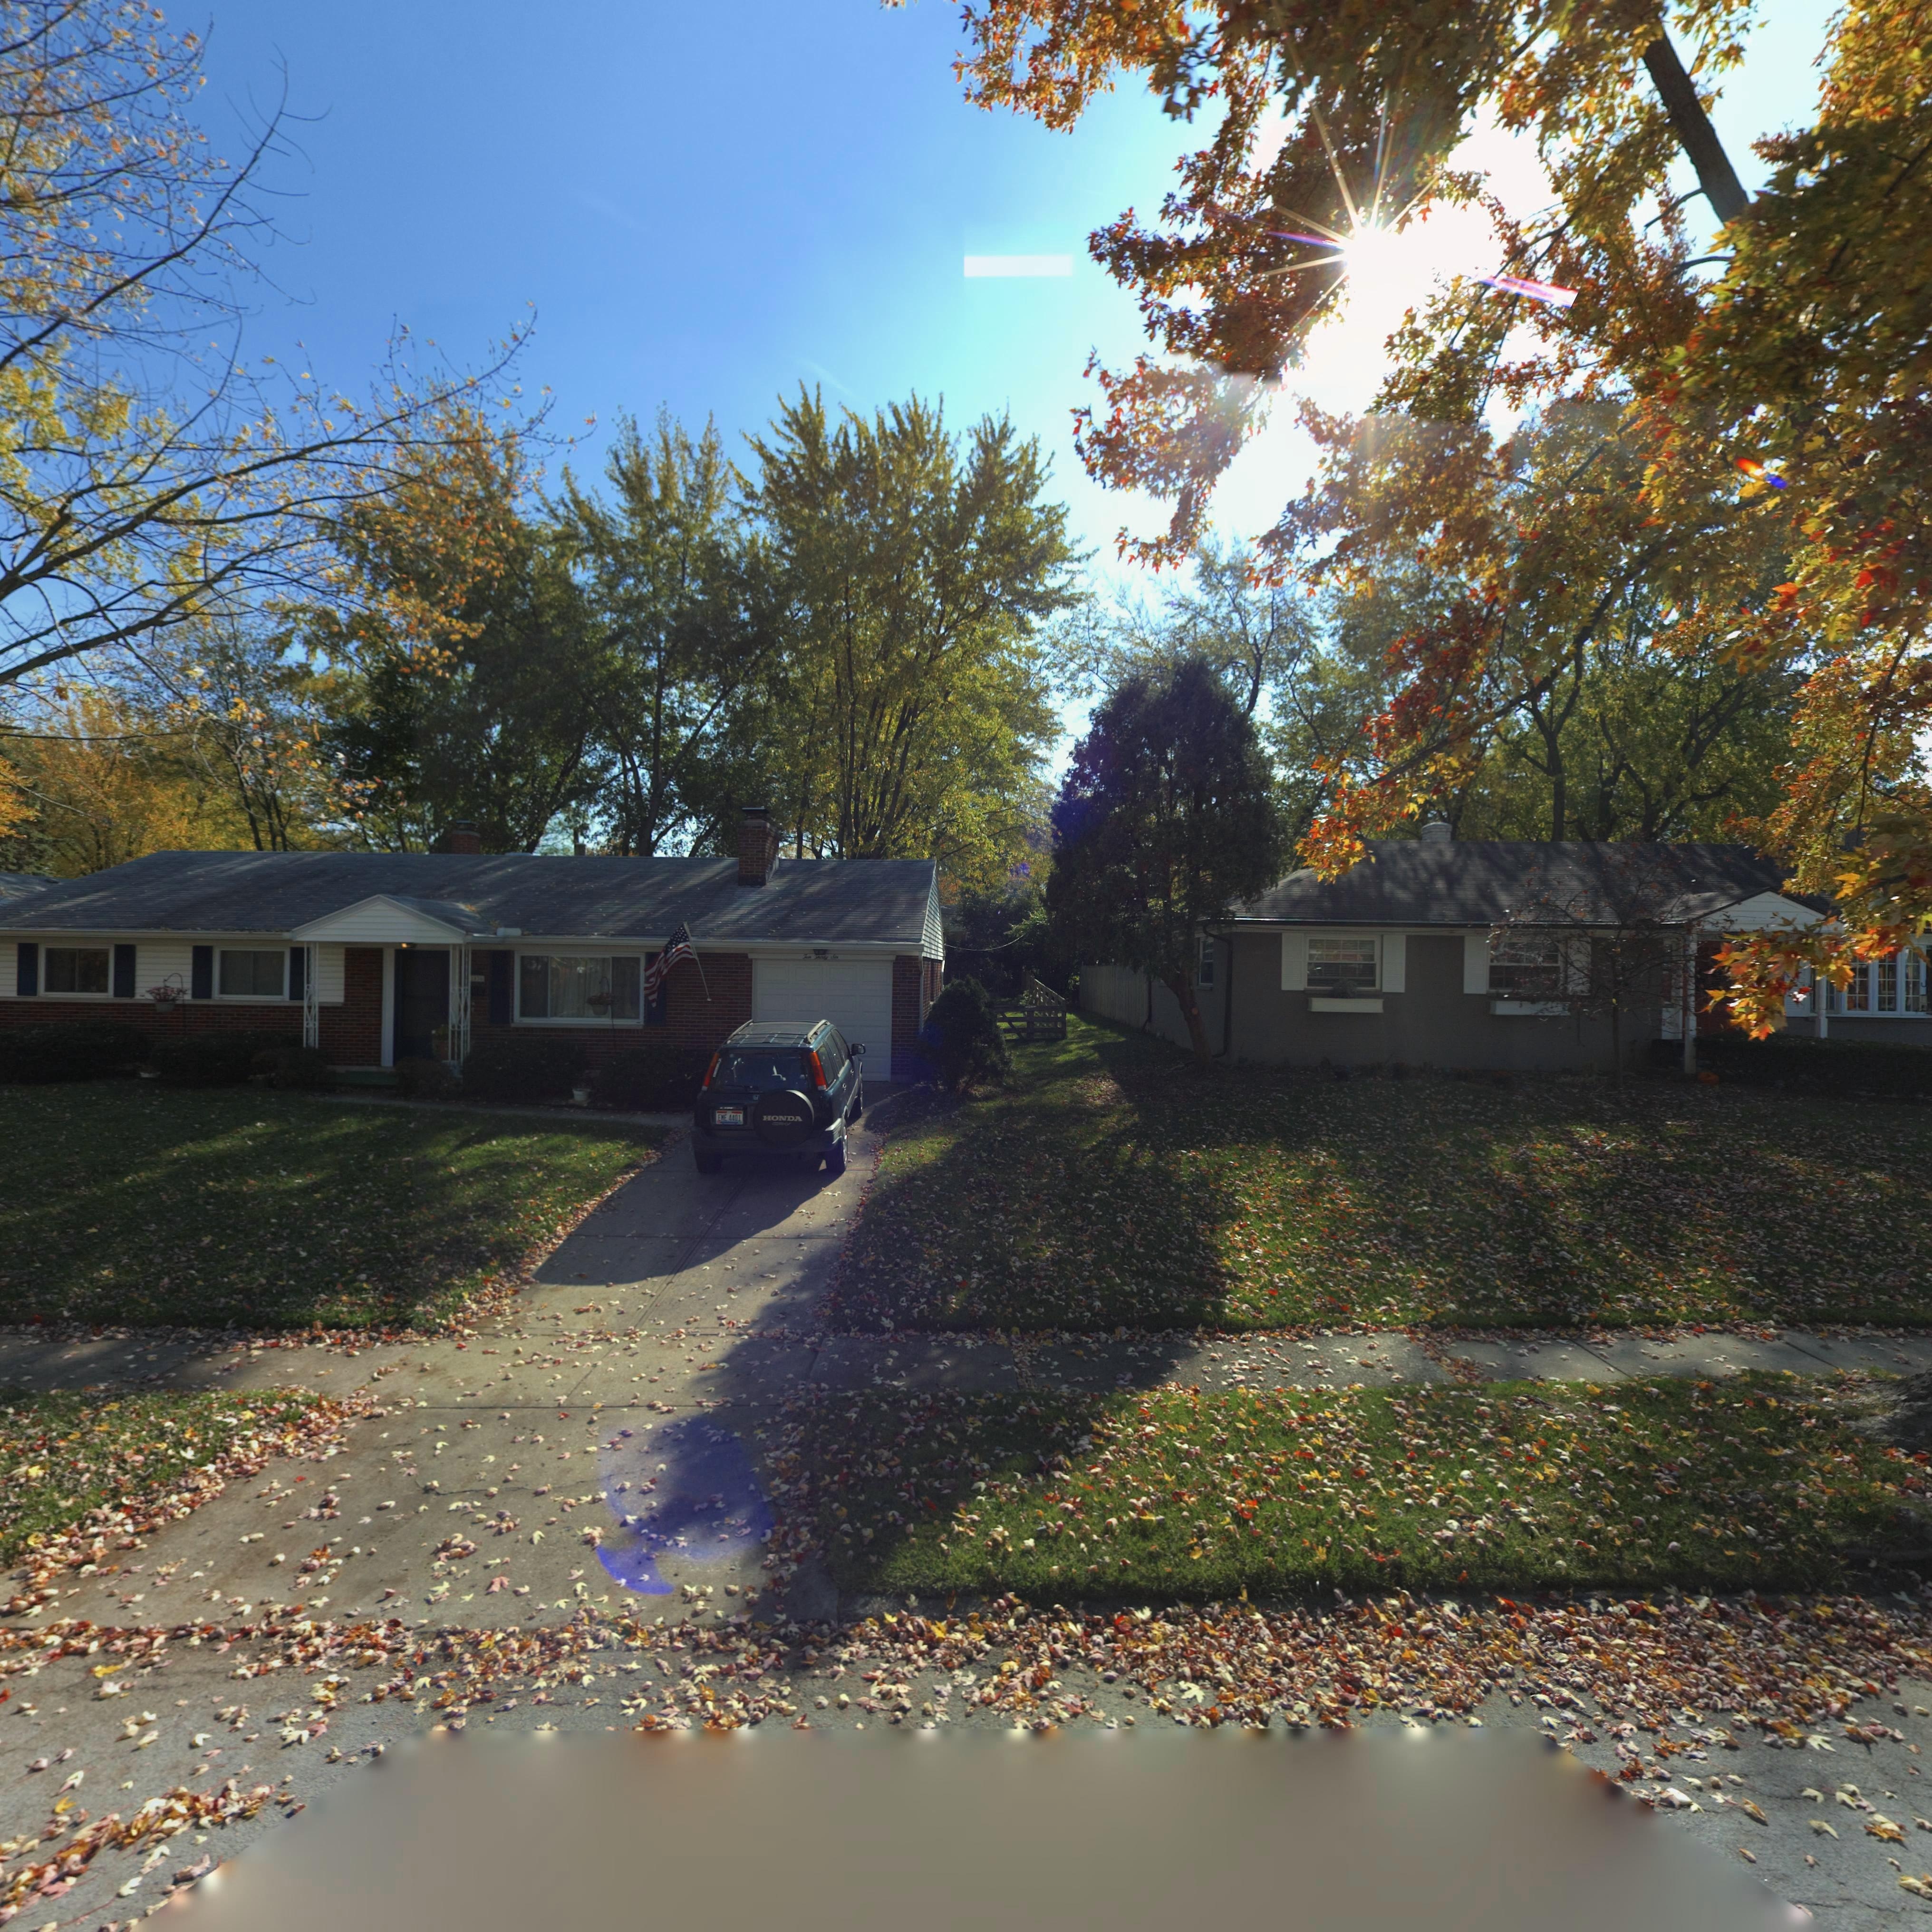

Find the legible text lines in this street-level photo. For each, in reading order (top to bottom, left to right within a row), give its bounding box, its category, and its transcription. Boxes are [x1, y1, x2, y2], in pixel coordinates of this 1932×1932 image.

[802, 953, 839, 960] StreetNumber: Ten Thirty Six
[471, 976, 483, 982] StreetNumber: 1*3*